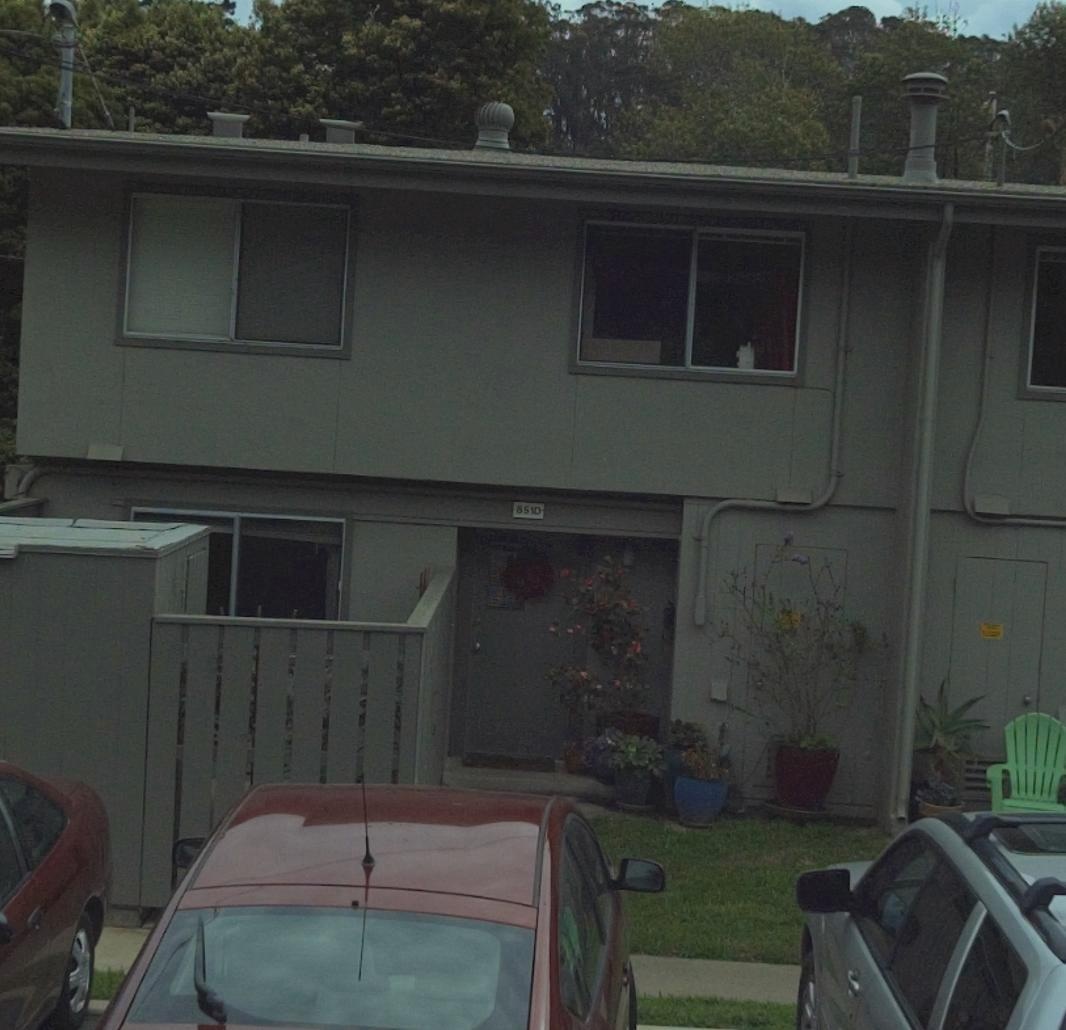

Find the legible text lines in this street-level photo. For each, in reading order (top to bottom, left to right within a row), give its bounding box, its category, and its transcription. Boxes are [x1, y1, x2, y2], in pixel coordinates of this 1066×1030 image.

[516, 504, 542, 516] StreetNumber: 851D